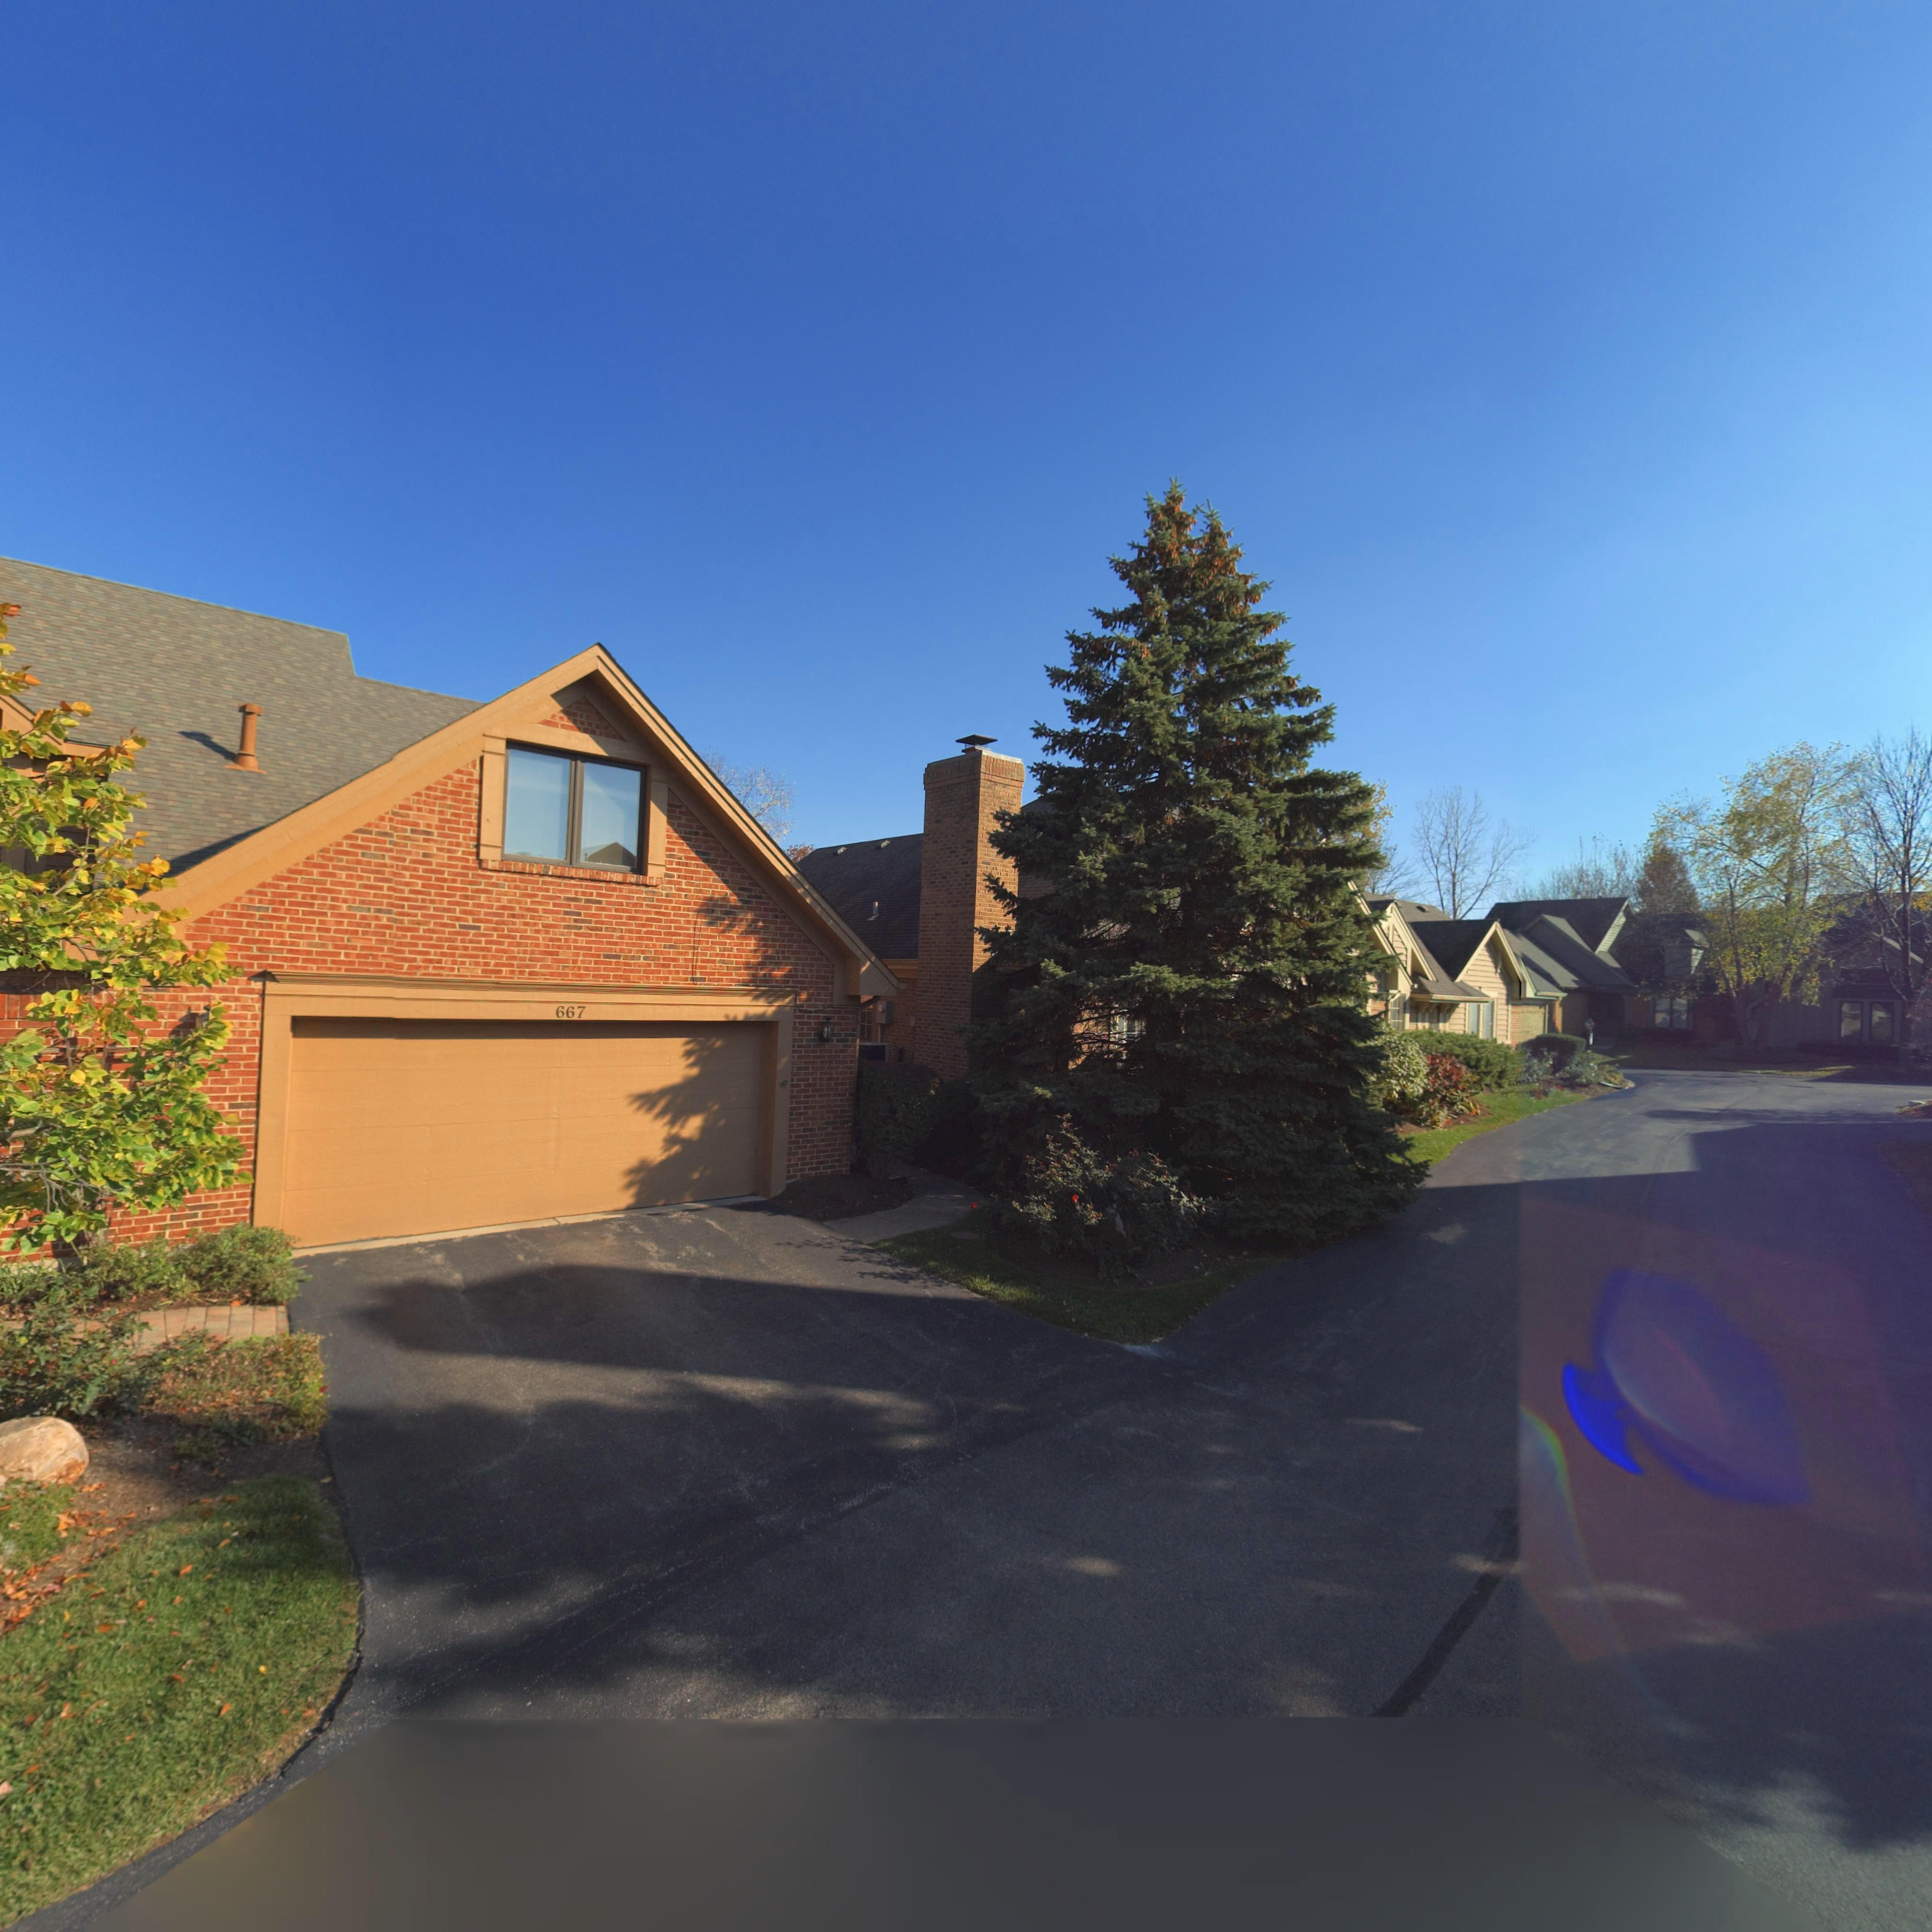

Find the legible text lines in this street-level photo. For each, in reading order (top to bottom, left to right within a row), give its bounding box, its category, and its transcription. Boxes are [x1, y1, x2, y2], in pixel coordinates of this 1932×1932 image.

[555, 1004, 588, 1019] StreetNumber: 667